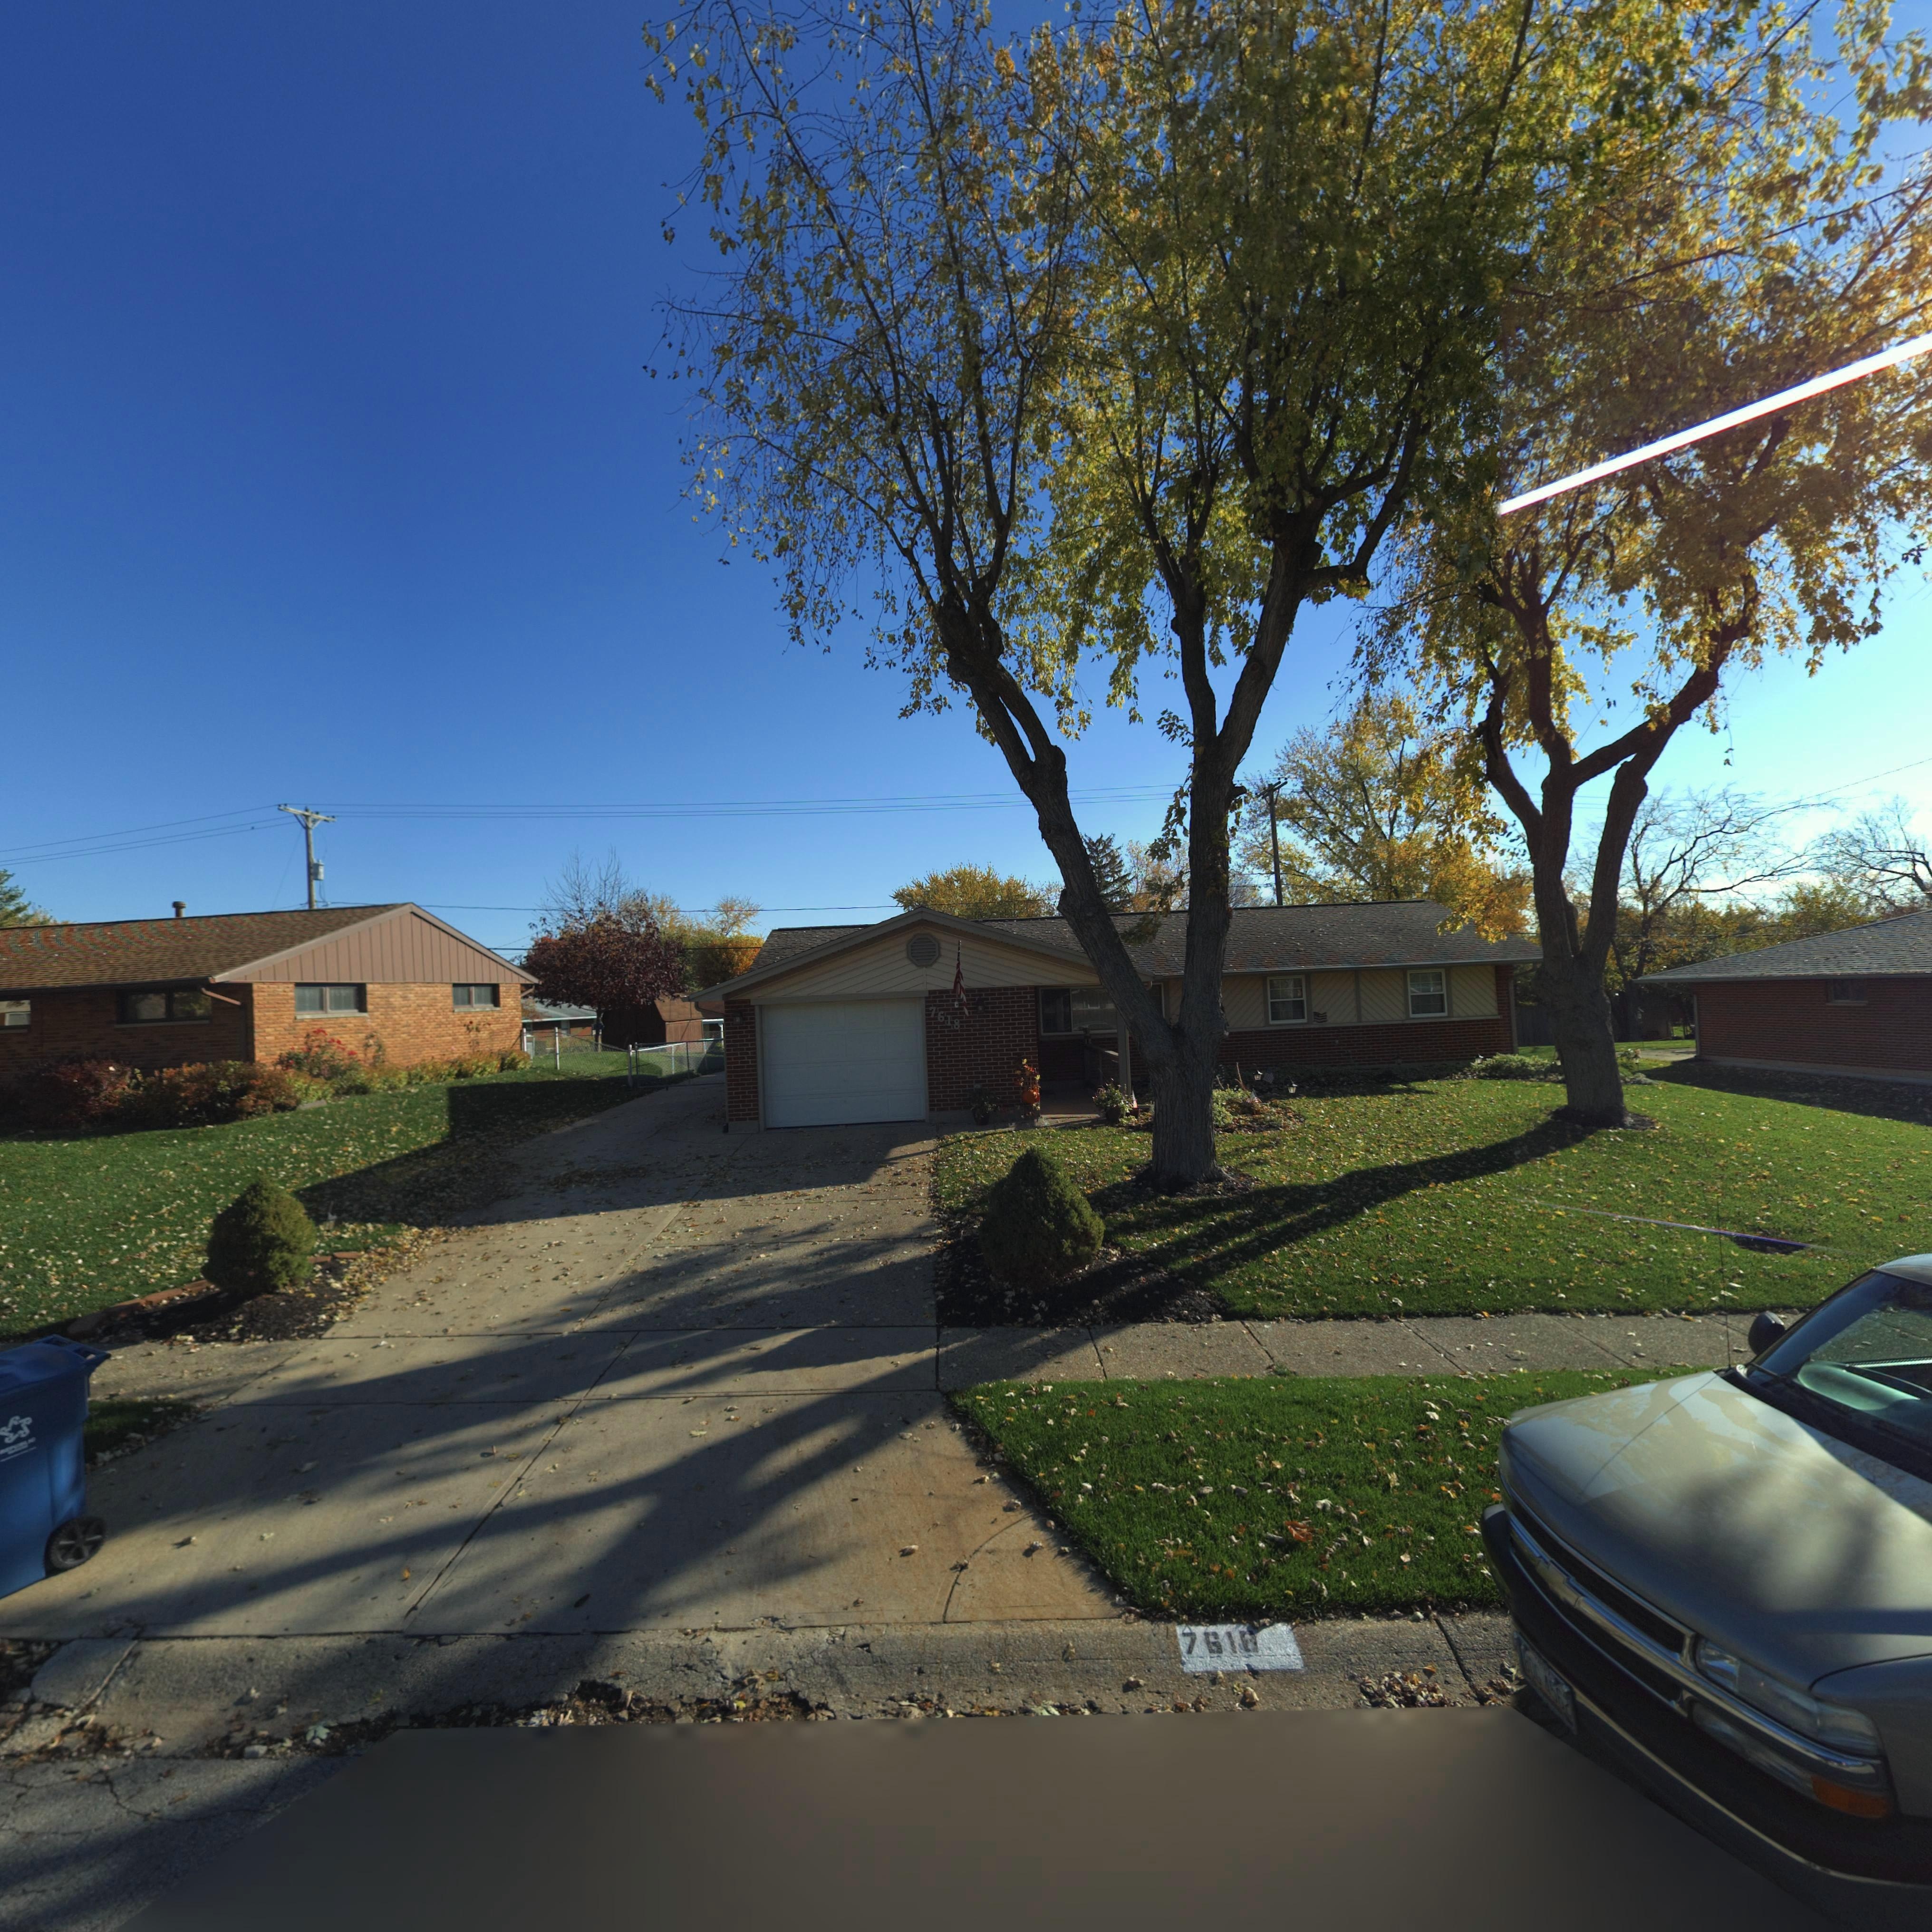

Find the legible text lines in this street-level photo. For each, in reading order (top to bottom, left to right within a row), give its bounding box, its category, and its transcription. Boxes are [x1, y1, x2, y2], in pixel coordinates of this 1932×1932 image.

[927, 1006, 961, 1032] StreetNumber: 7618
[1178, 1627, 1262, 1658] StreetNumber: 7618